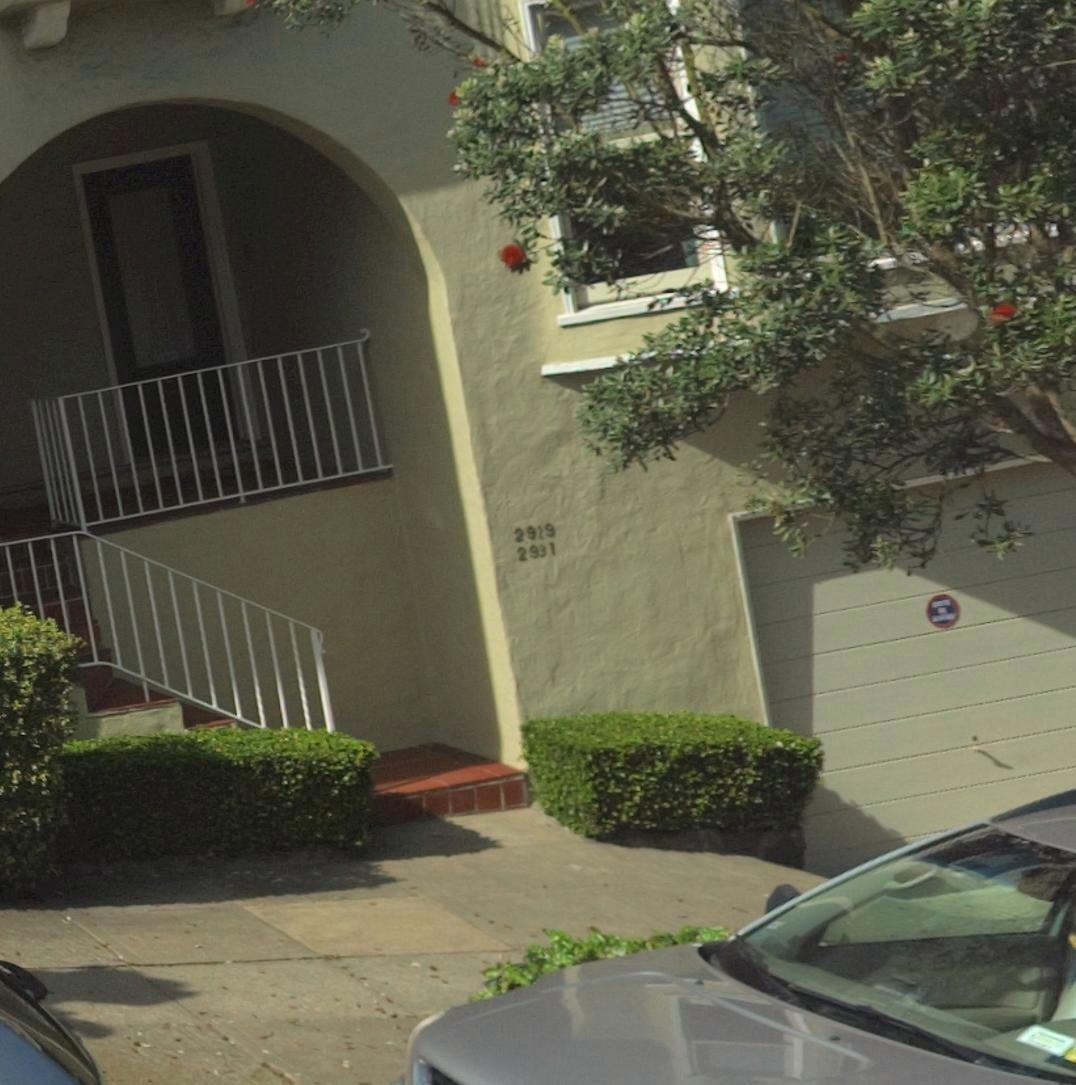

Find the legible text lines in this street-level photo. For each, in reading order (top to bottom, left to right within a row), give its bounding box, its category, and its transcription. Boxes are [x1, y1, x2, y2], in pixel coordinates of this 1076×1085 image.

[511, 520, 558, 546] StreetNumber: 29*9
[514, 538, 559, 565] StreetNumber: 29*1